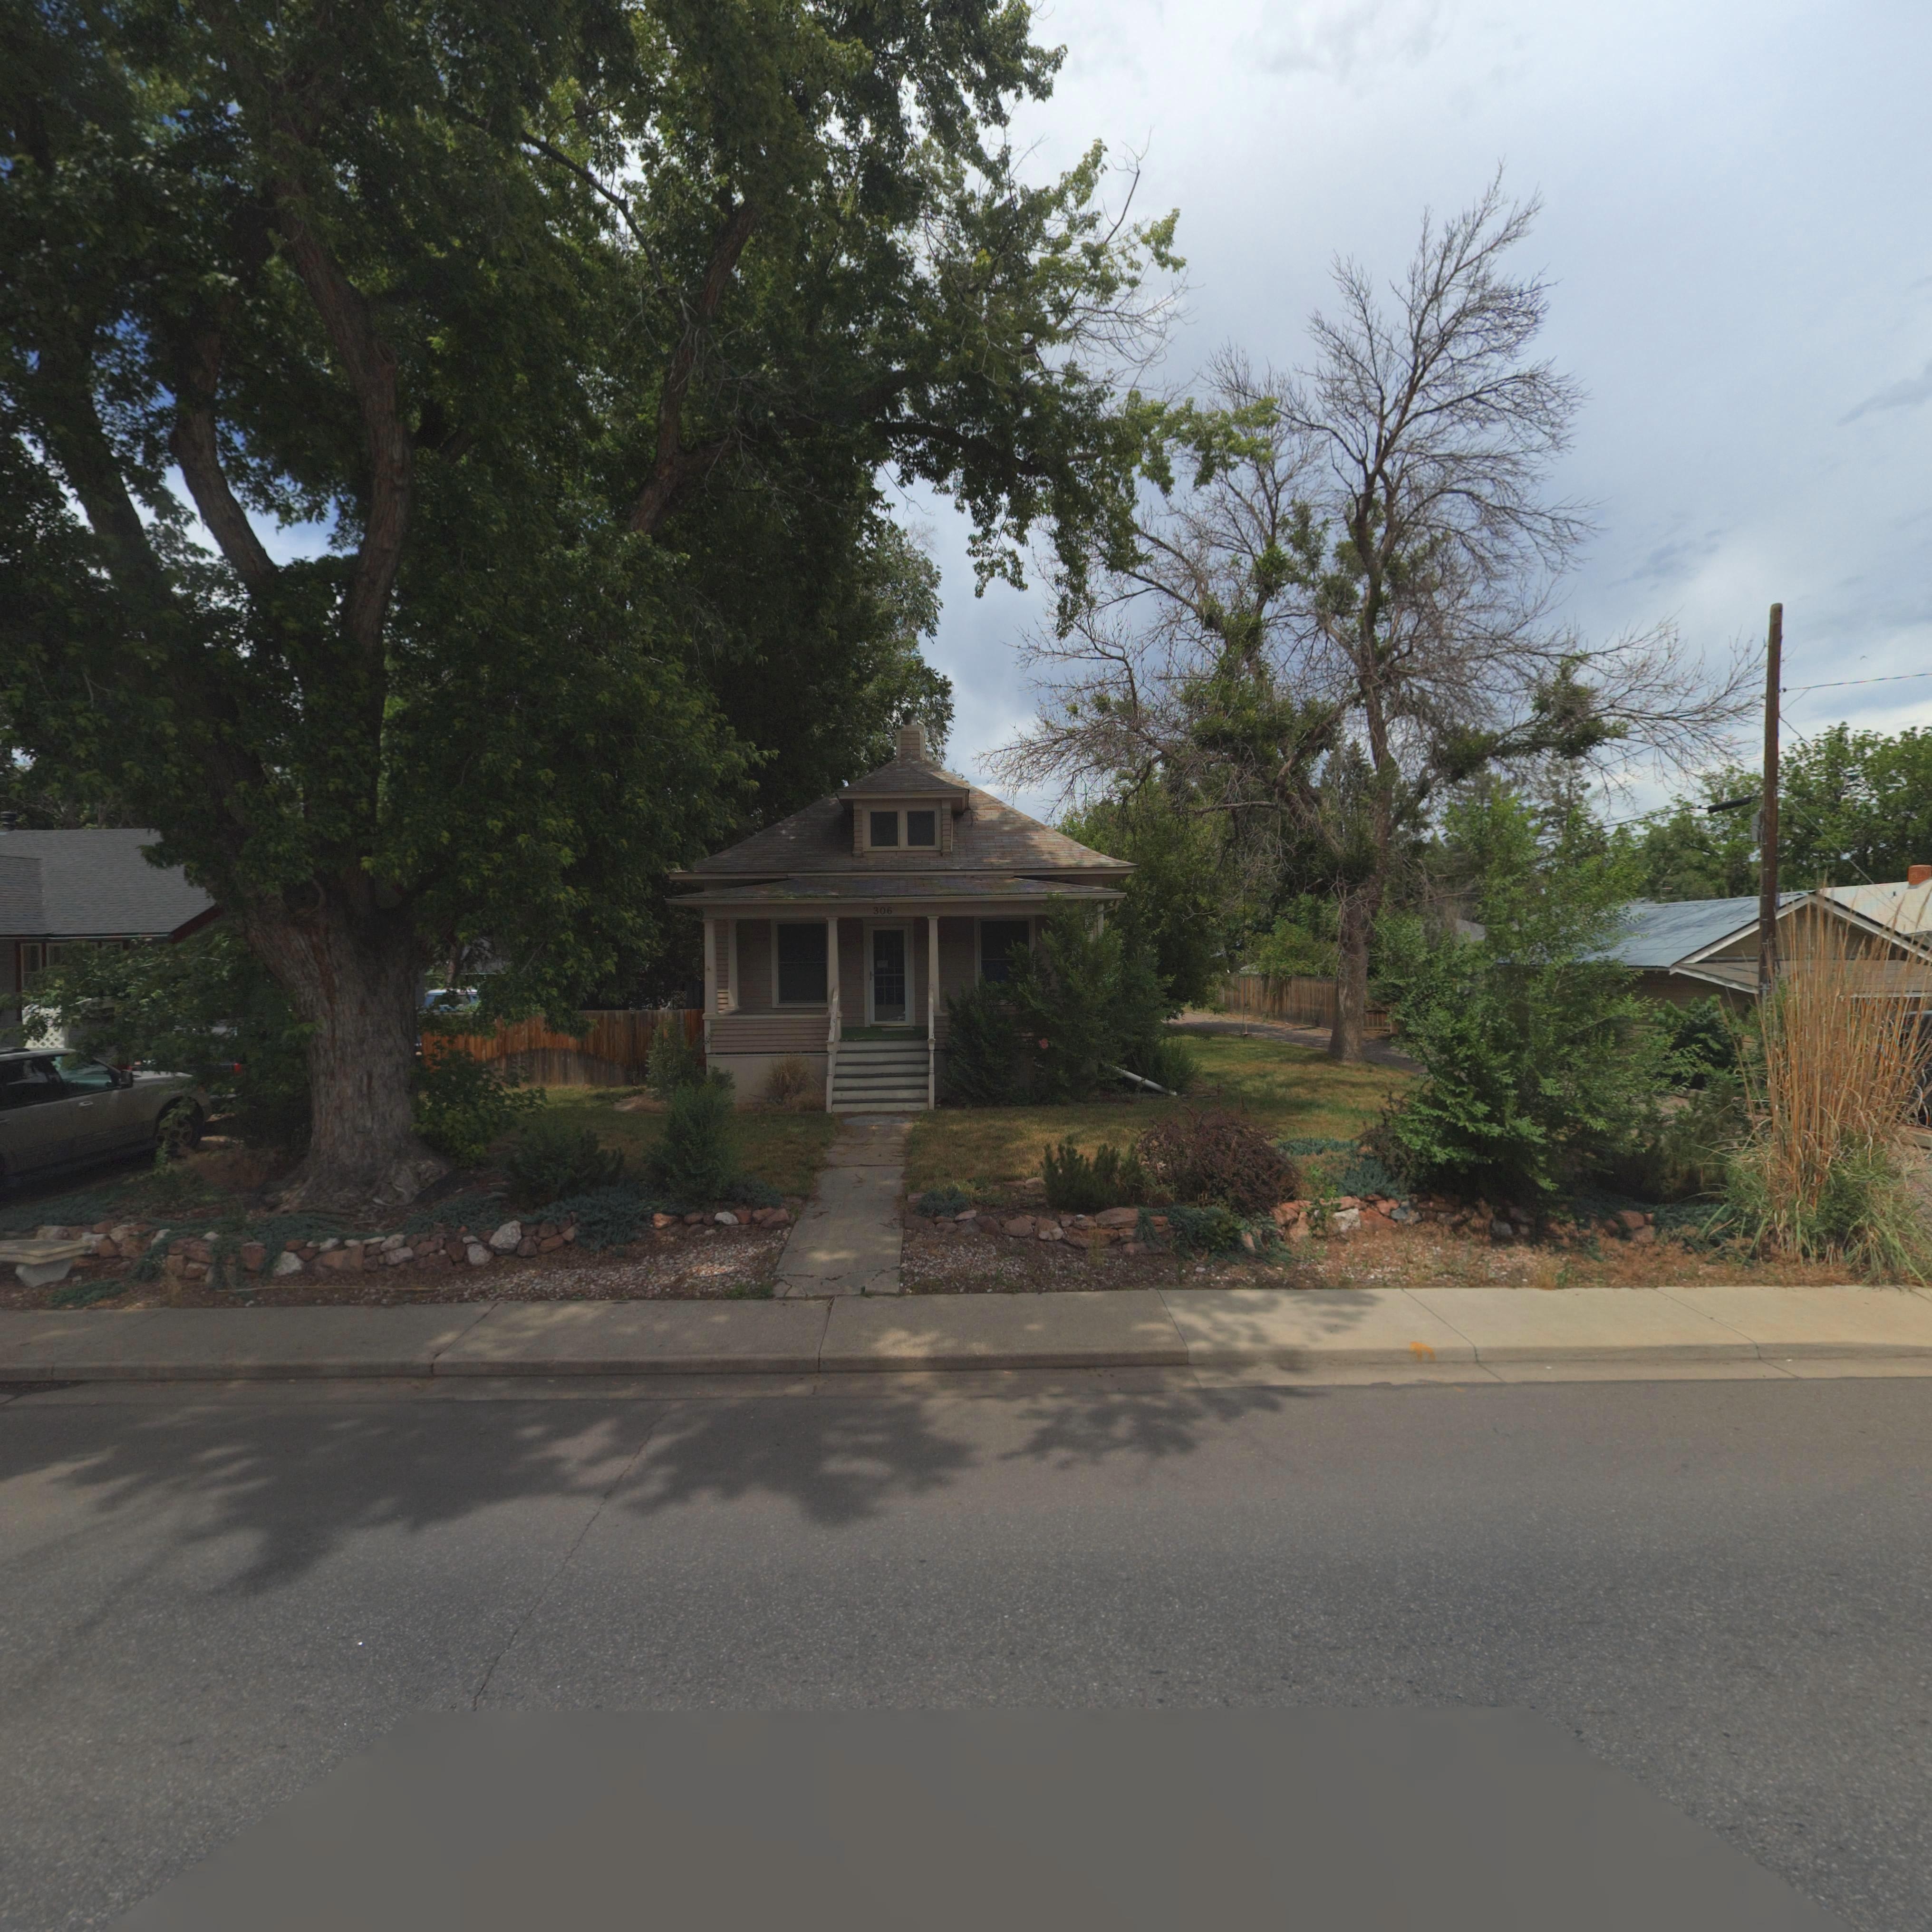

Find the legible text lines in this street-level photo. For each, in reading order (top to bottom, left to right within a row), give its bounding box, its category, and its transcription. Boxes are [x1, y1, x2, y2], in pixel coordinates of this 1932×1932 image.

[873, 906, 892, 915] StreetNumber: 306